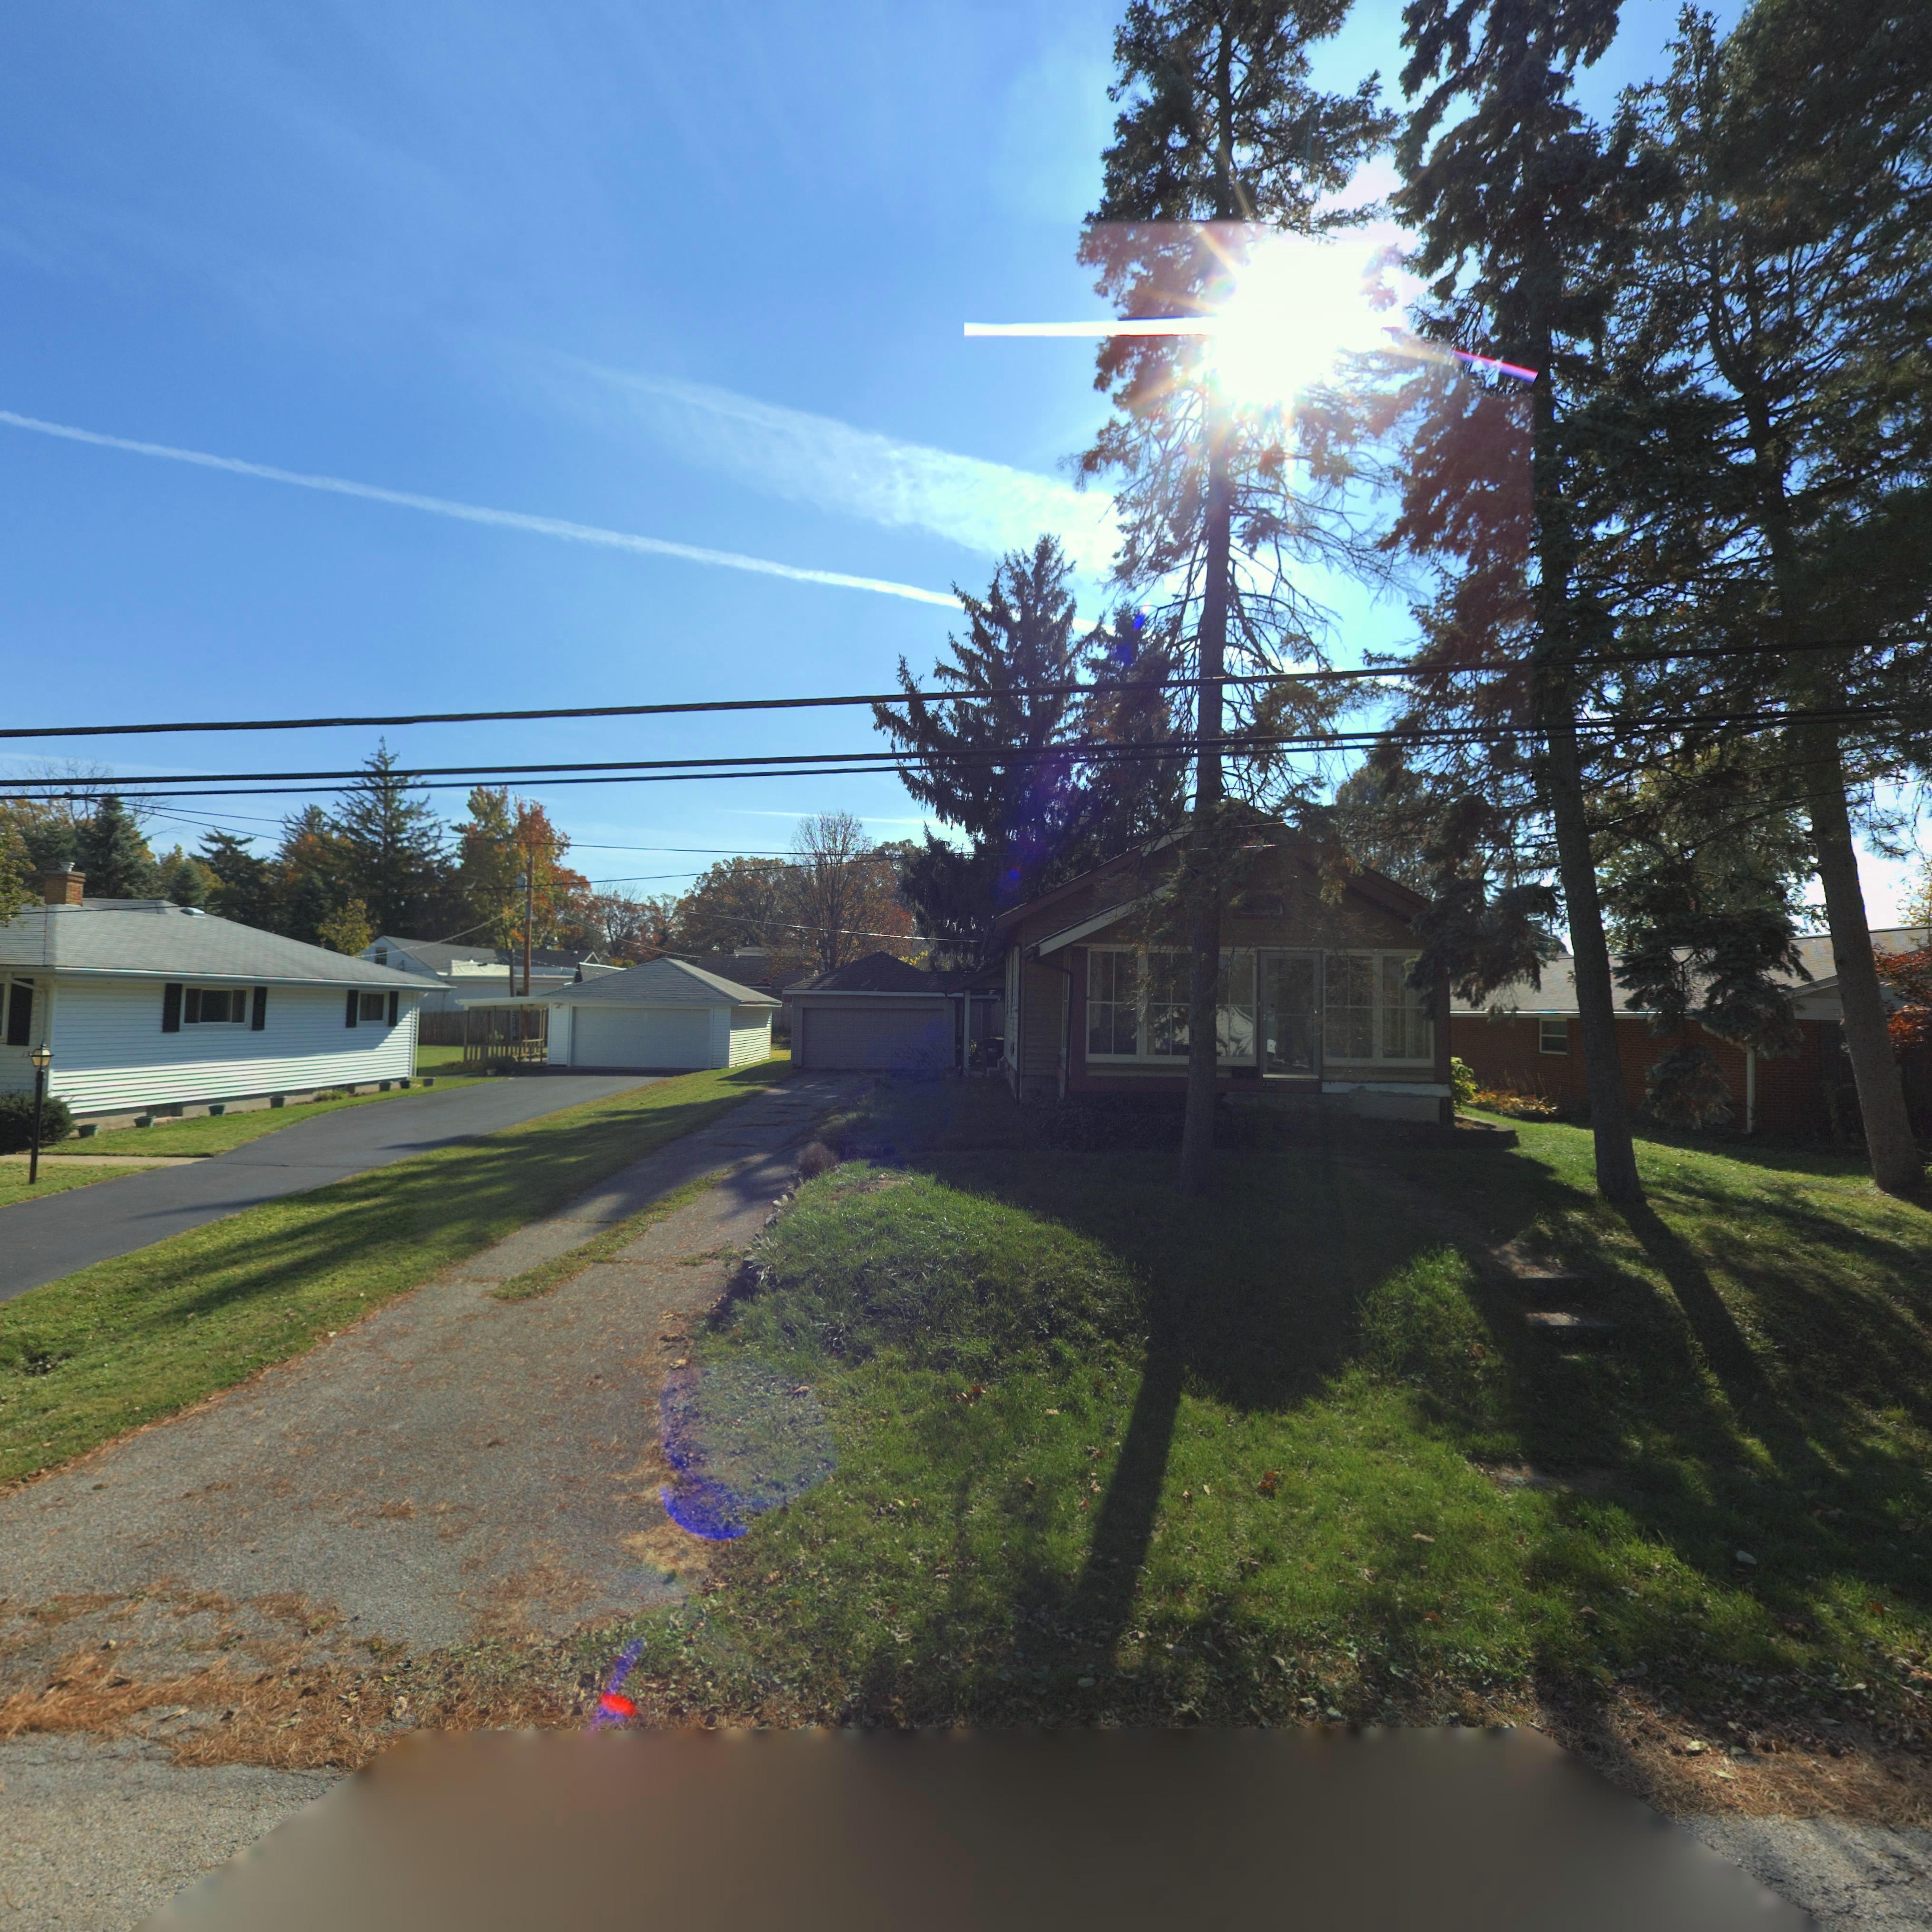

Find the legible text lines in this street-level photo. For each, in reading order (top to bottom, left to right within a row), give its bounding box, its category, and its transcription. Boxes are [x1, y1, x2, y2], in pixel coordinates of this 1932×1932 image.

[21, 1050, 32, 1057] StreetNumber: 13
[1262, 1081, 1275, 1087] StreetNumber: 1308